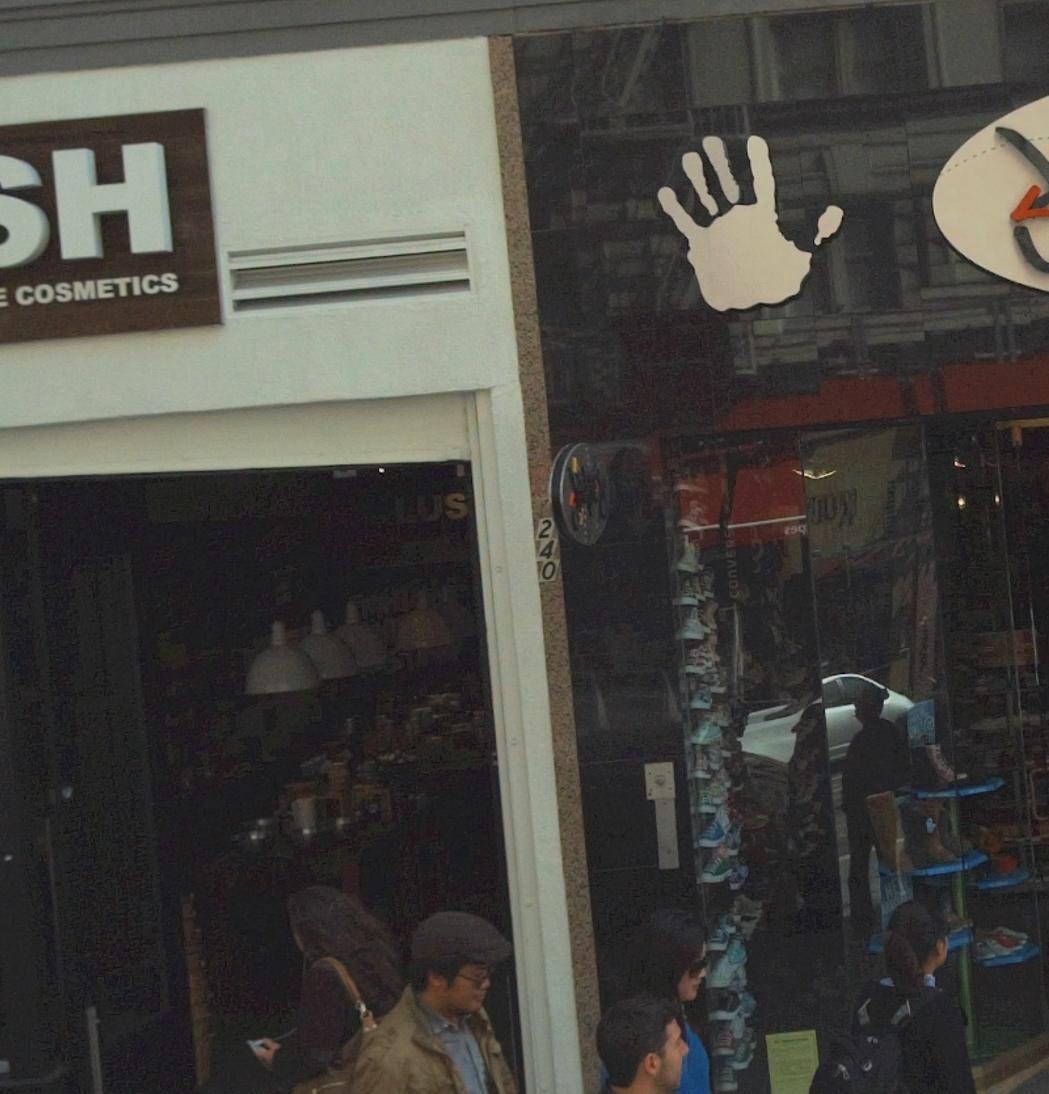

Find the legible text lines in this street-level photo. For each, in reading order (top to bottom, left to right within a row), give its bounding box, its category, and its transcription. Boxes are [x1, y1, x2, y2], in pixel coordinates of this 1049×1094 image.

[44, 133, 180, 268] BusinessName: H
[13, 267, 184, 311] BusinessName: COSMETICS
[390, 488, 473, 530] None: LUS
[535, 517, 558, 586] StreetNumber: 240